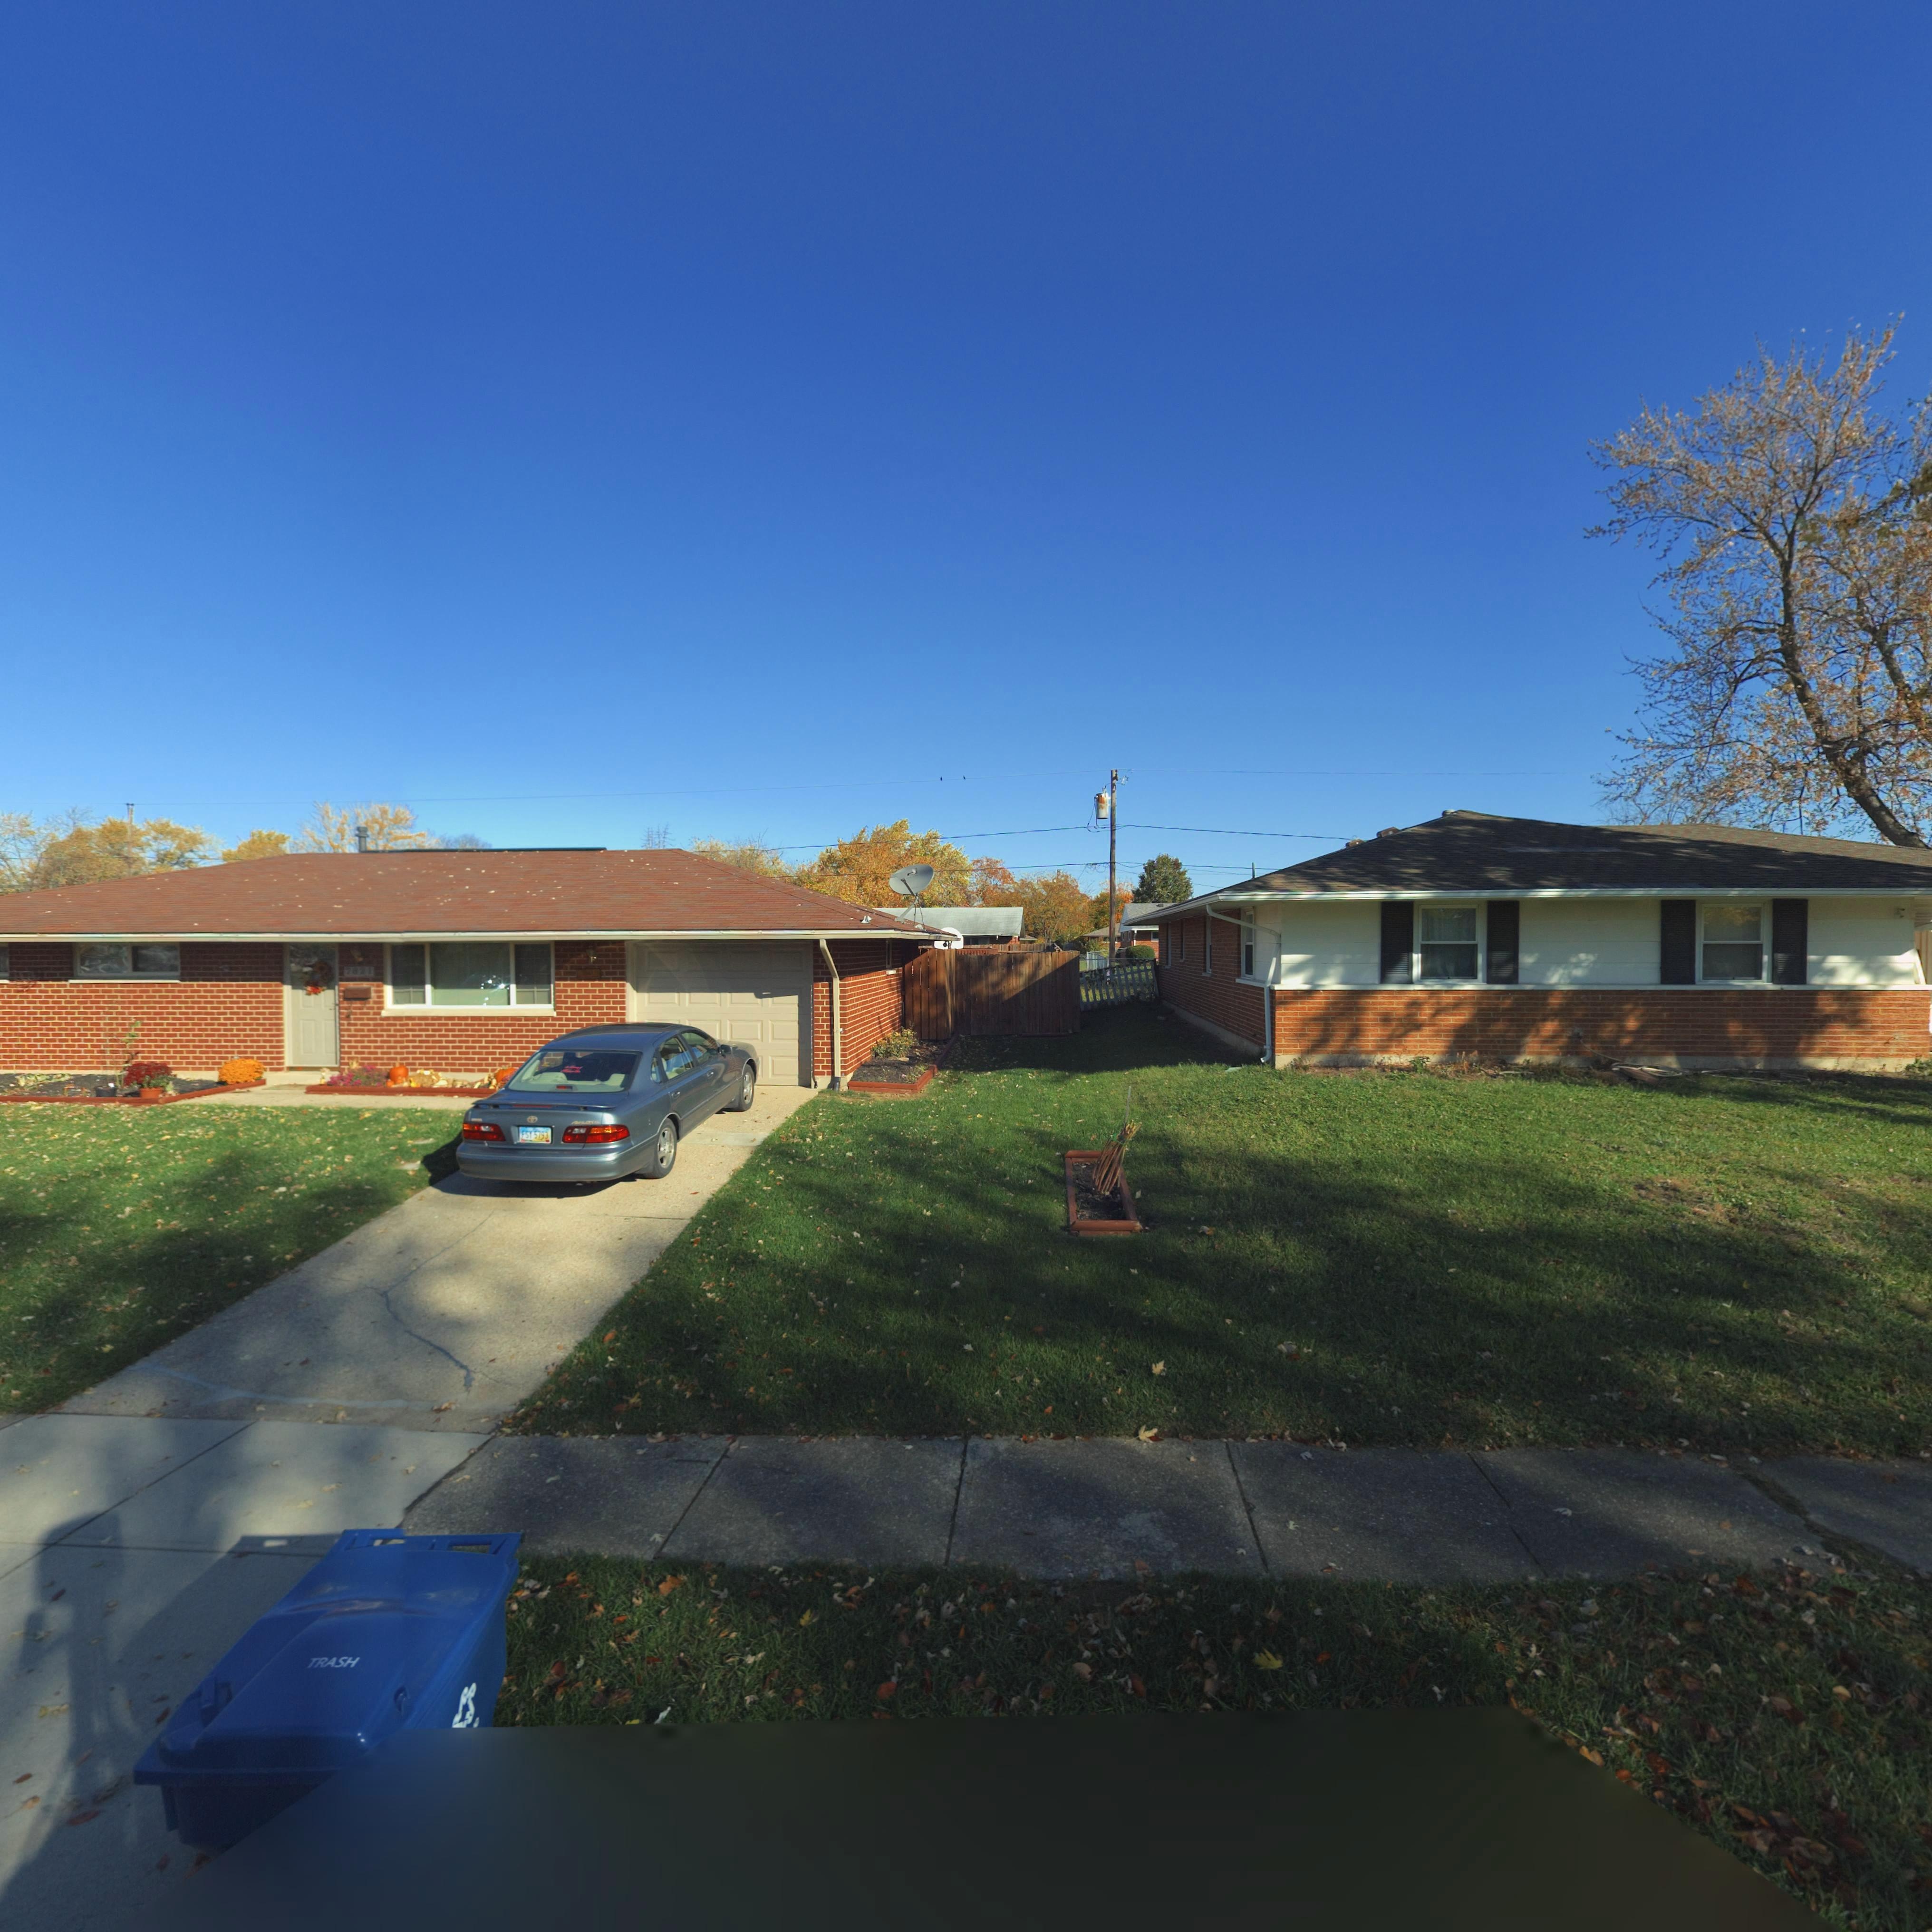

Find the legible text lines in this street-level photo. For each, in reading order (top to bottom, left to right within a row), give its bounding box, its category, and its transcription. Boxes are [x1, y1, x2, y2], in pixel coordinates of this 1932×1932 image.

[345, 966, 373, 976] StreetNumber: 7821